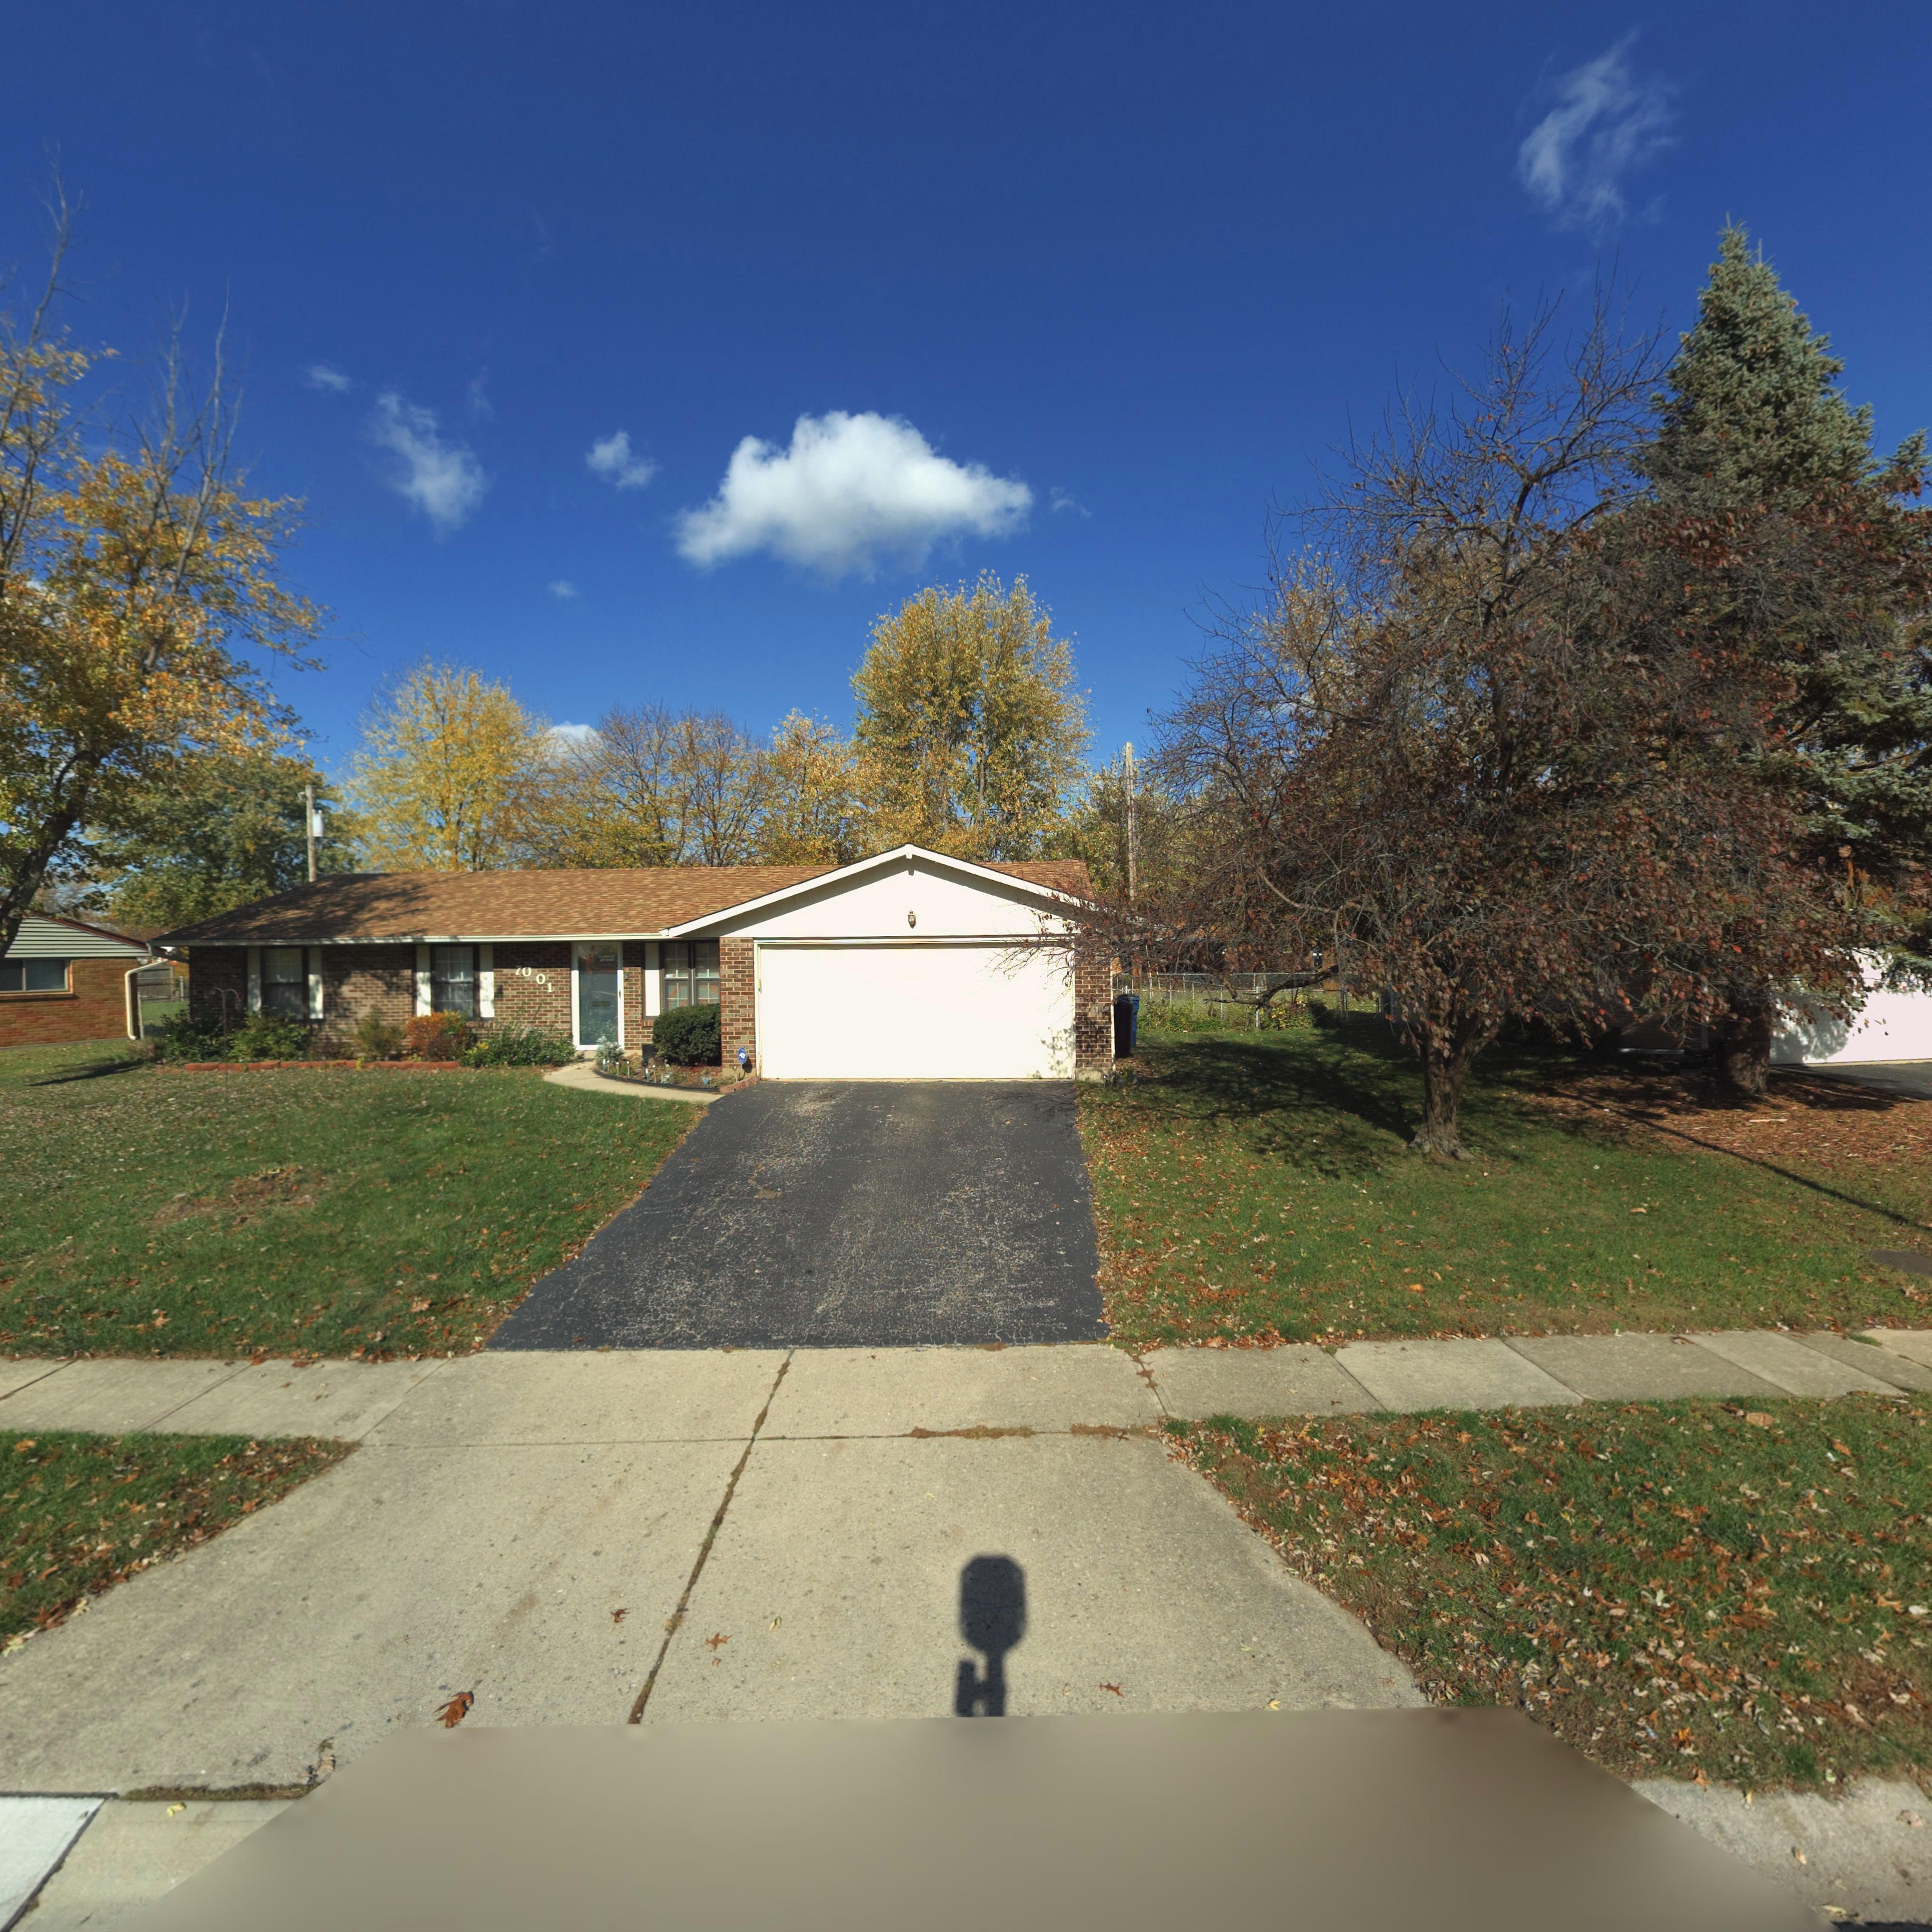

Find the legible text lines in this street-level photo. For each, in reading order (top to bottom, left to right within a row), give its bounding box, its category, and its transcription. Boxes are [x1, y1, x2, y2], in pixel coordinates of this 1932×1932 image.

[513, 964, 554, 995] StreetNumber: 7001